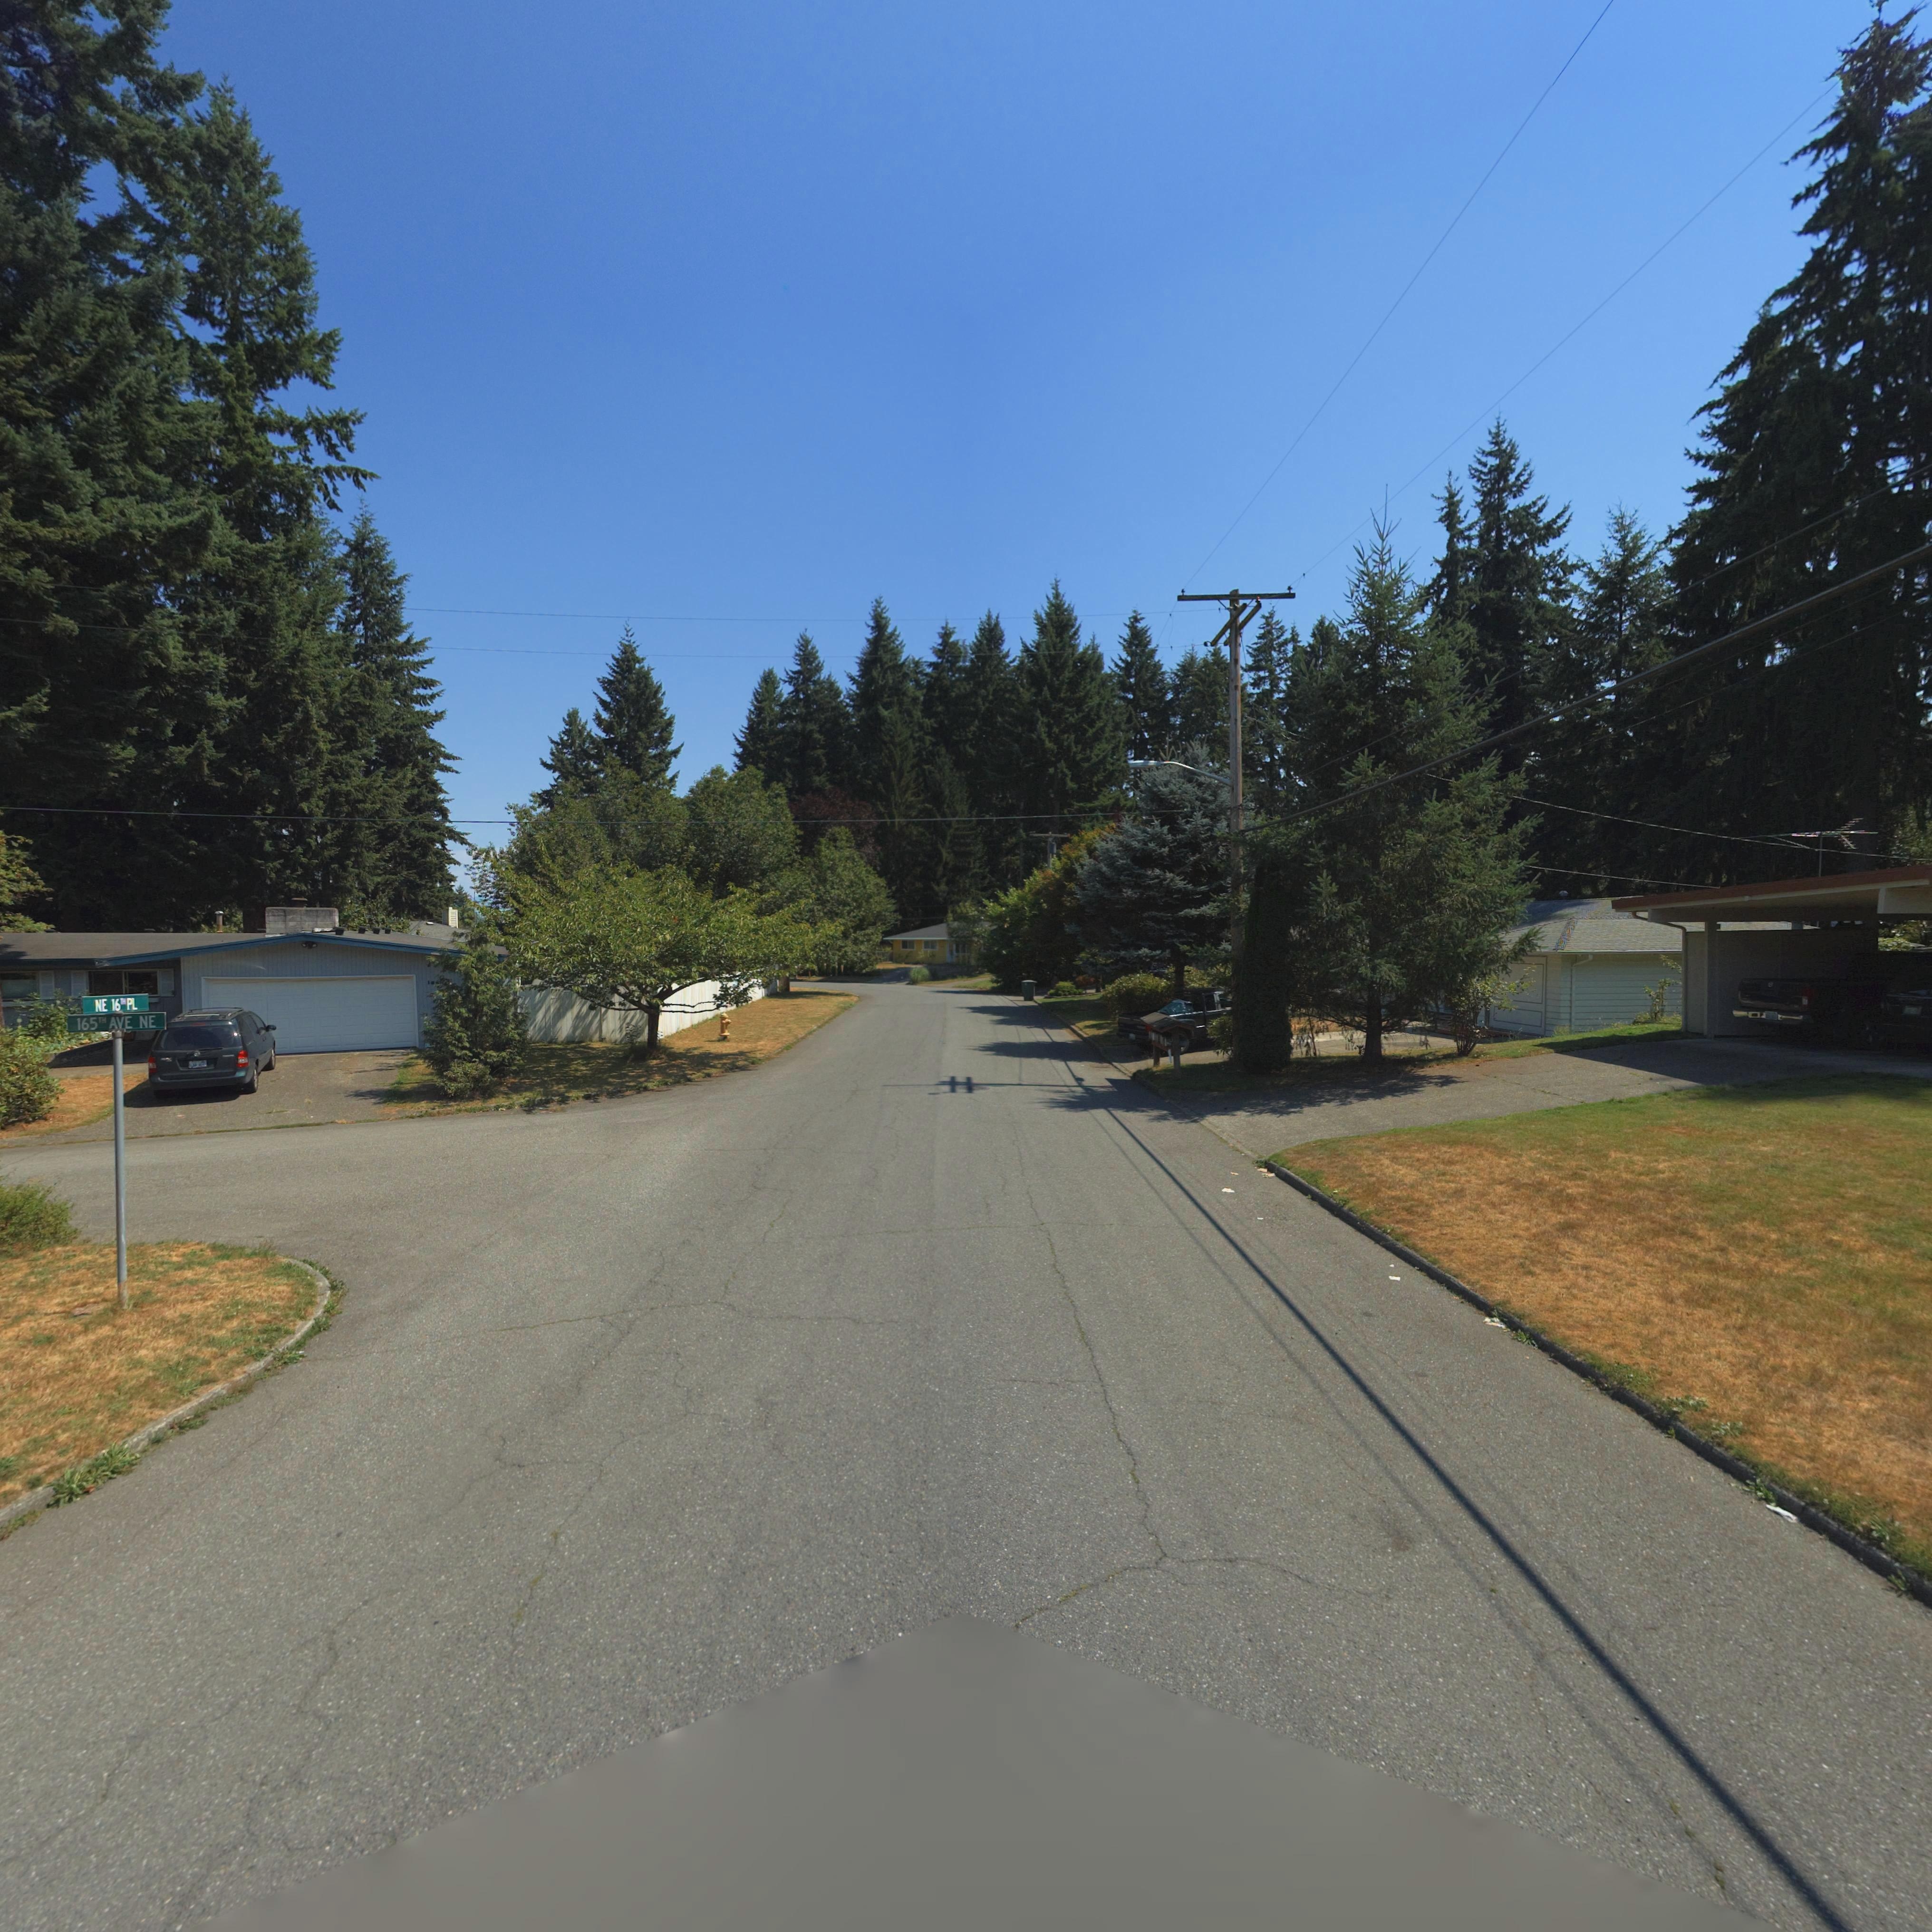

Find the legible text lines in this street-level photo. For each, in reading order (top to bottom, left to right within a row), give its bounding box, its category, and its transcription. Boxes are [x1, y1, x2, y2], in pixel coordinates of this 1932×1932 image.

[427, 980, 435, 985] StreetNumber: 10
[94, 997, 139, 1013] StreetName: NE 16th PL
[77, 1015, 155, 1030] StreetName: 165 AVE NE